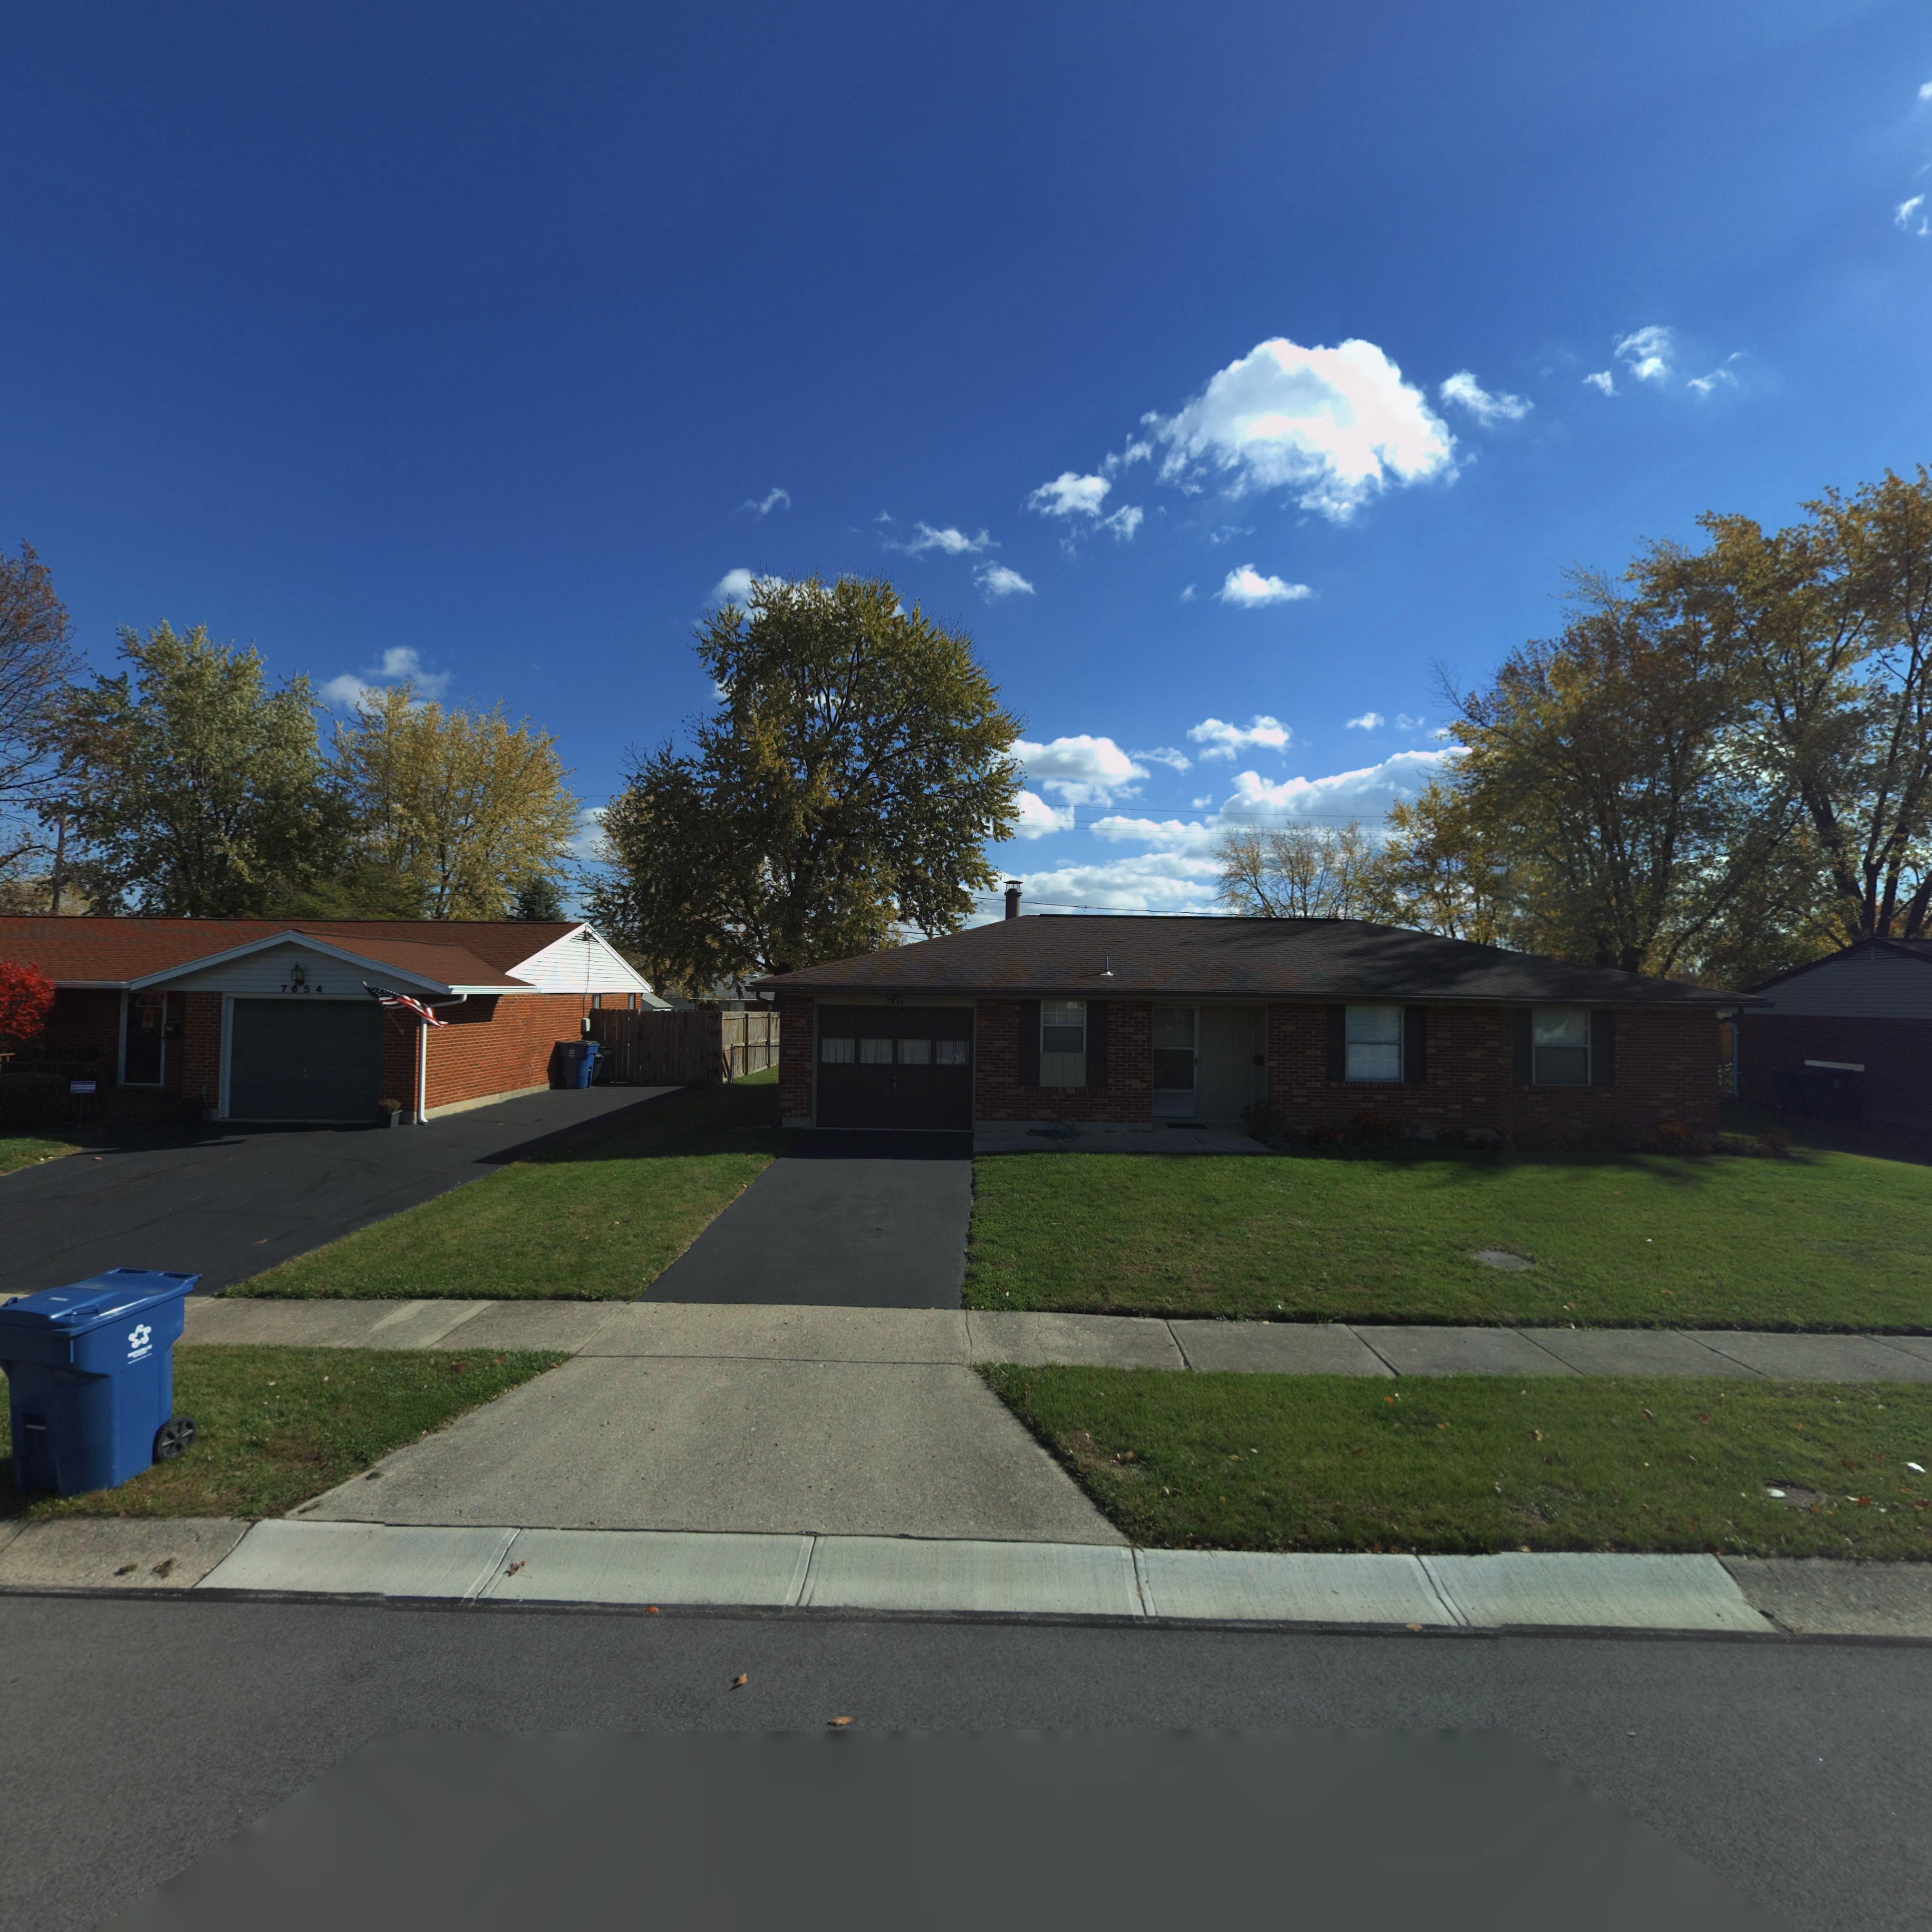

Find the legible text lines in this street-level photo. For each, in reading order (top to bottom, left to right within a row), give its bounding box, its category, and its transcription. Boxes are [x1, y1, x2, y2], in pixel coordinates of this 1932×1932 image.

[280, 984, 323, 995] StreetNumber: 7654
[885, 999, 904, 1006] StreetNumber: *64*